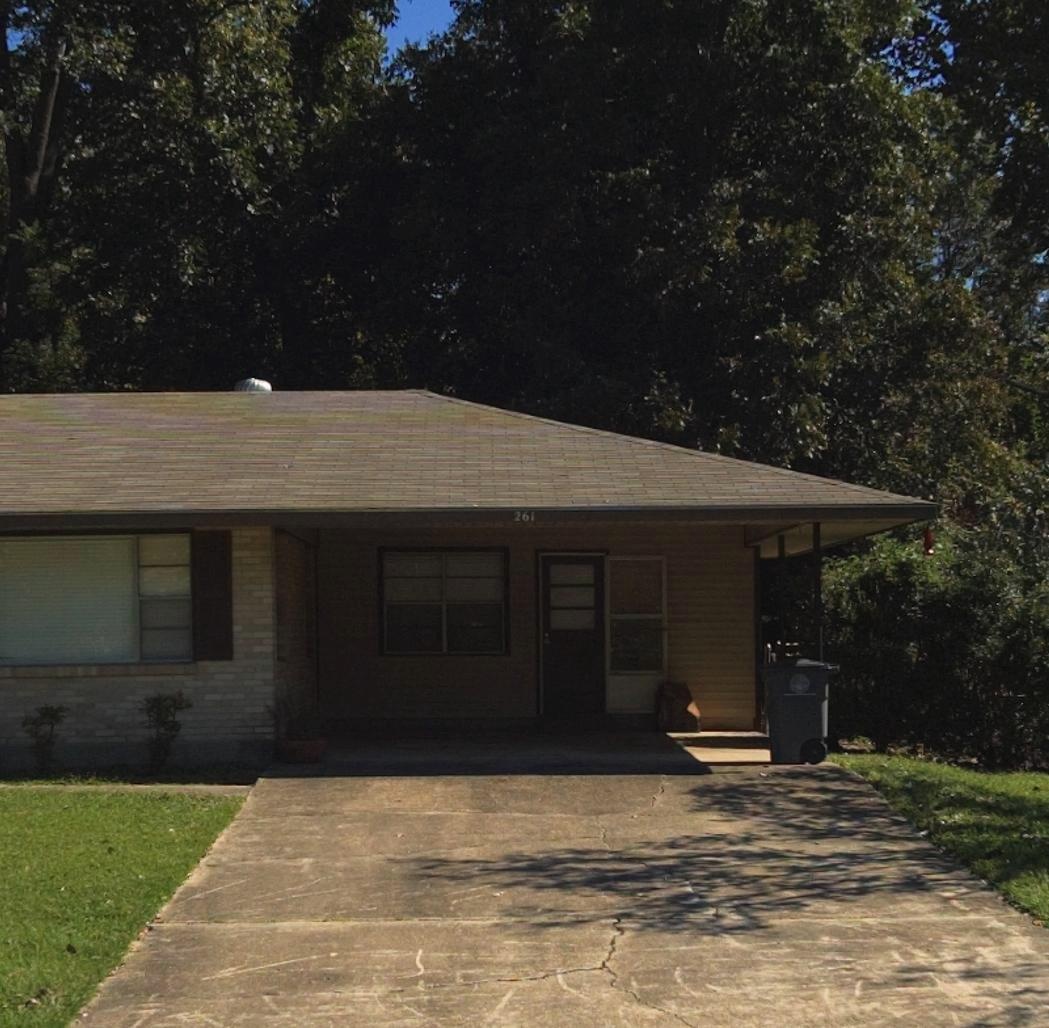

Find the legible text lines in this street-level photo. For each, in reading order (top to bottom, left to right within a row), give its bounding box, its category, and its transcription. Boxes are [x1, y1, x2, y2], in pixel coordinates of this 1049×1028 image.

[511, 508, 536, 525] StreetNumber: 261